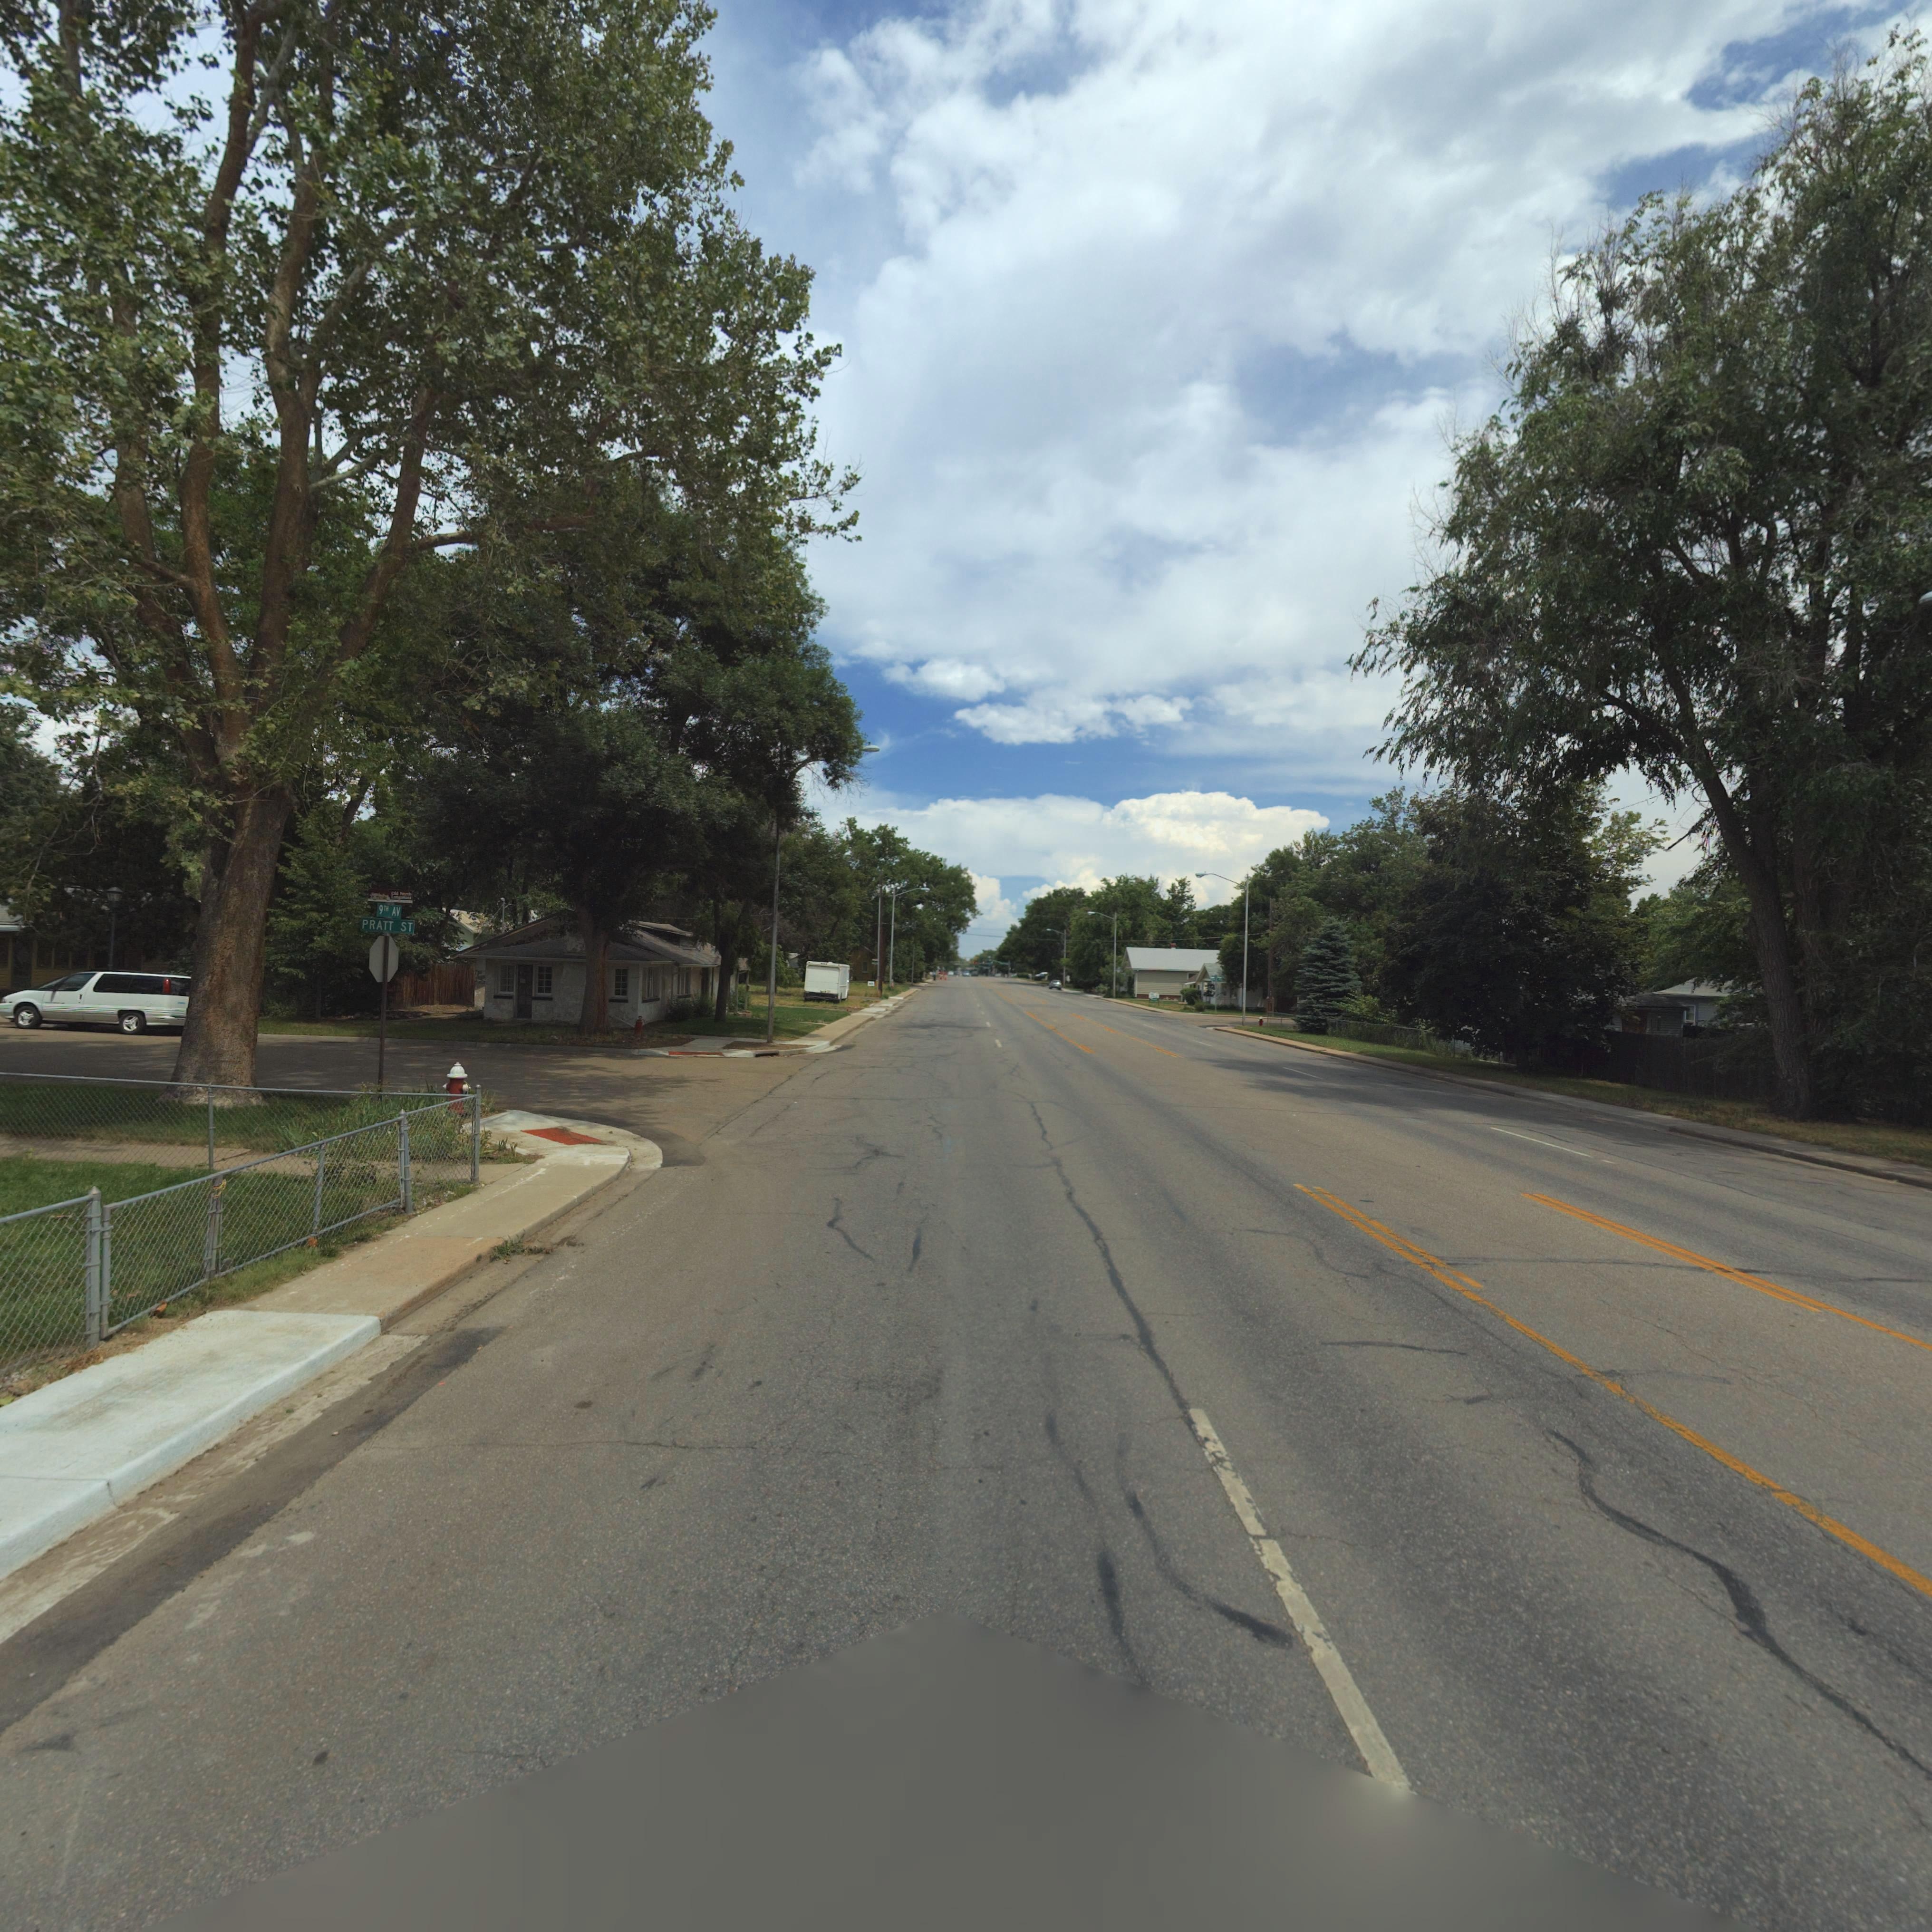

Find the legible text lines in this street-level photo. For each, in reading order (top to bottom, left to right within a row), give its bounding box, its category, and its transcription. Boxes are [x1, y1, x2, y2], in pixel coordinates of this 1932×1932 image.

[378, 904, 401, 917] StreetName: 9TH AV
[362, 919, 414, 932] StreetName: PRATT ST